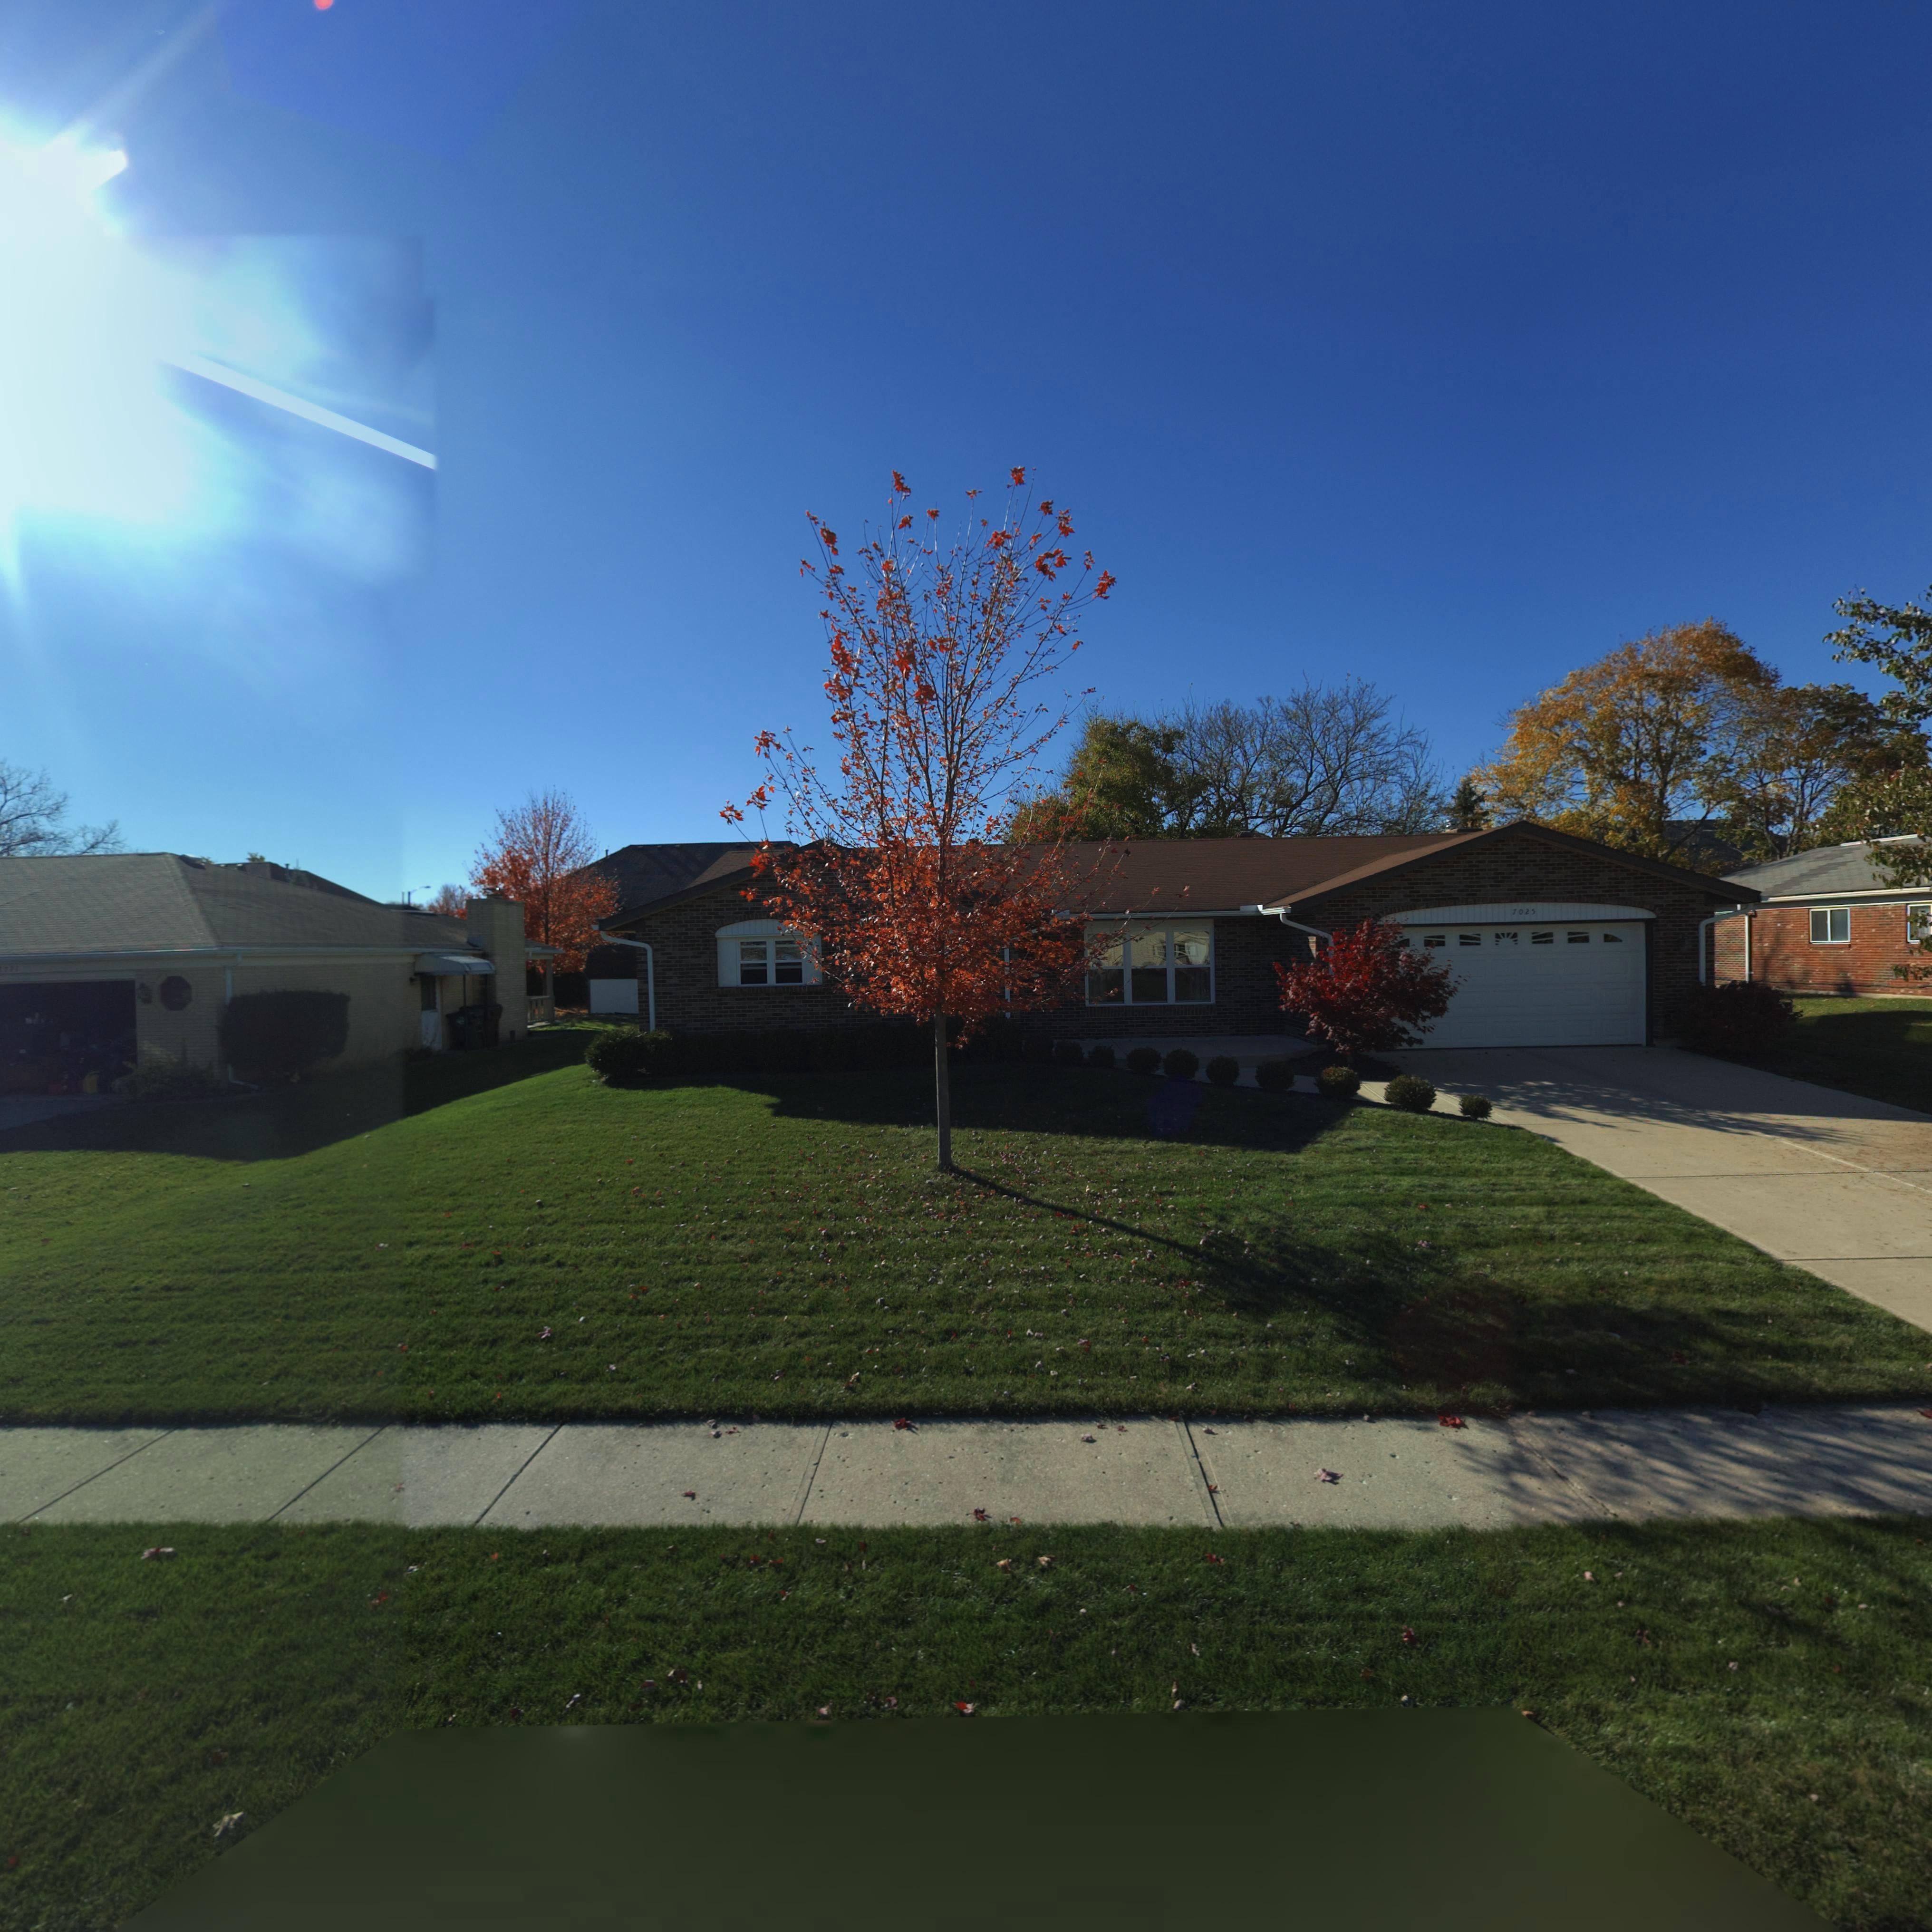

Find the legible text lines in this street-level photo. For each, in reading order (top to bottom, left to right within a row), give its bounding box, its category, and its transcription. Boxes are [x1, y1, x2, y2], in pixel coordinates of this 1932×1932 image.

[1512, 908, 1536, 915] StreetNumber: 7025
[3, 966, 19, 973] StreetNumber: 021